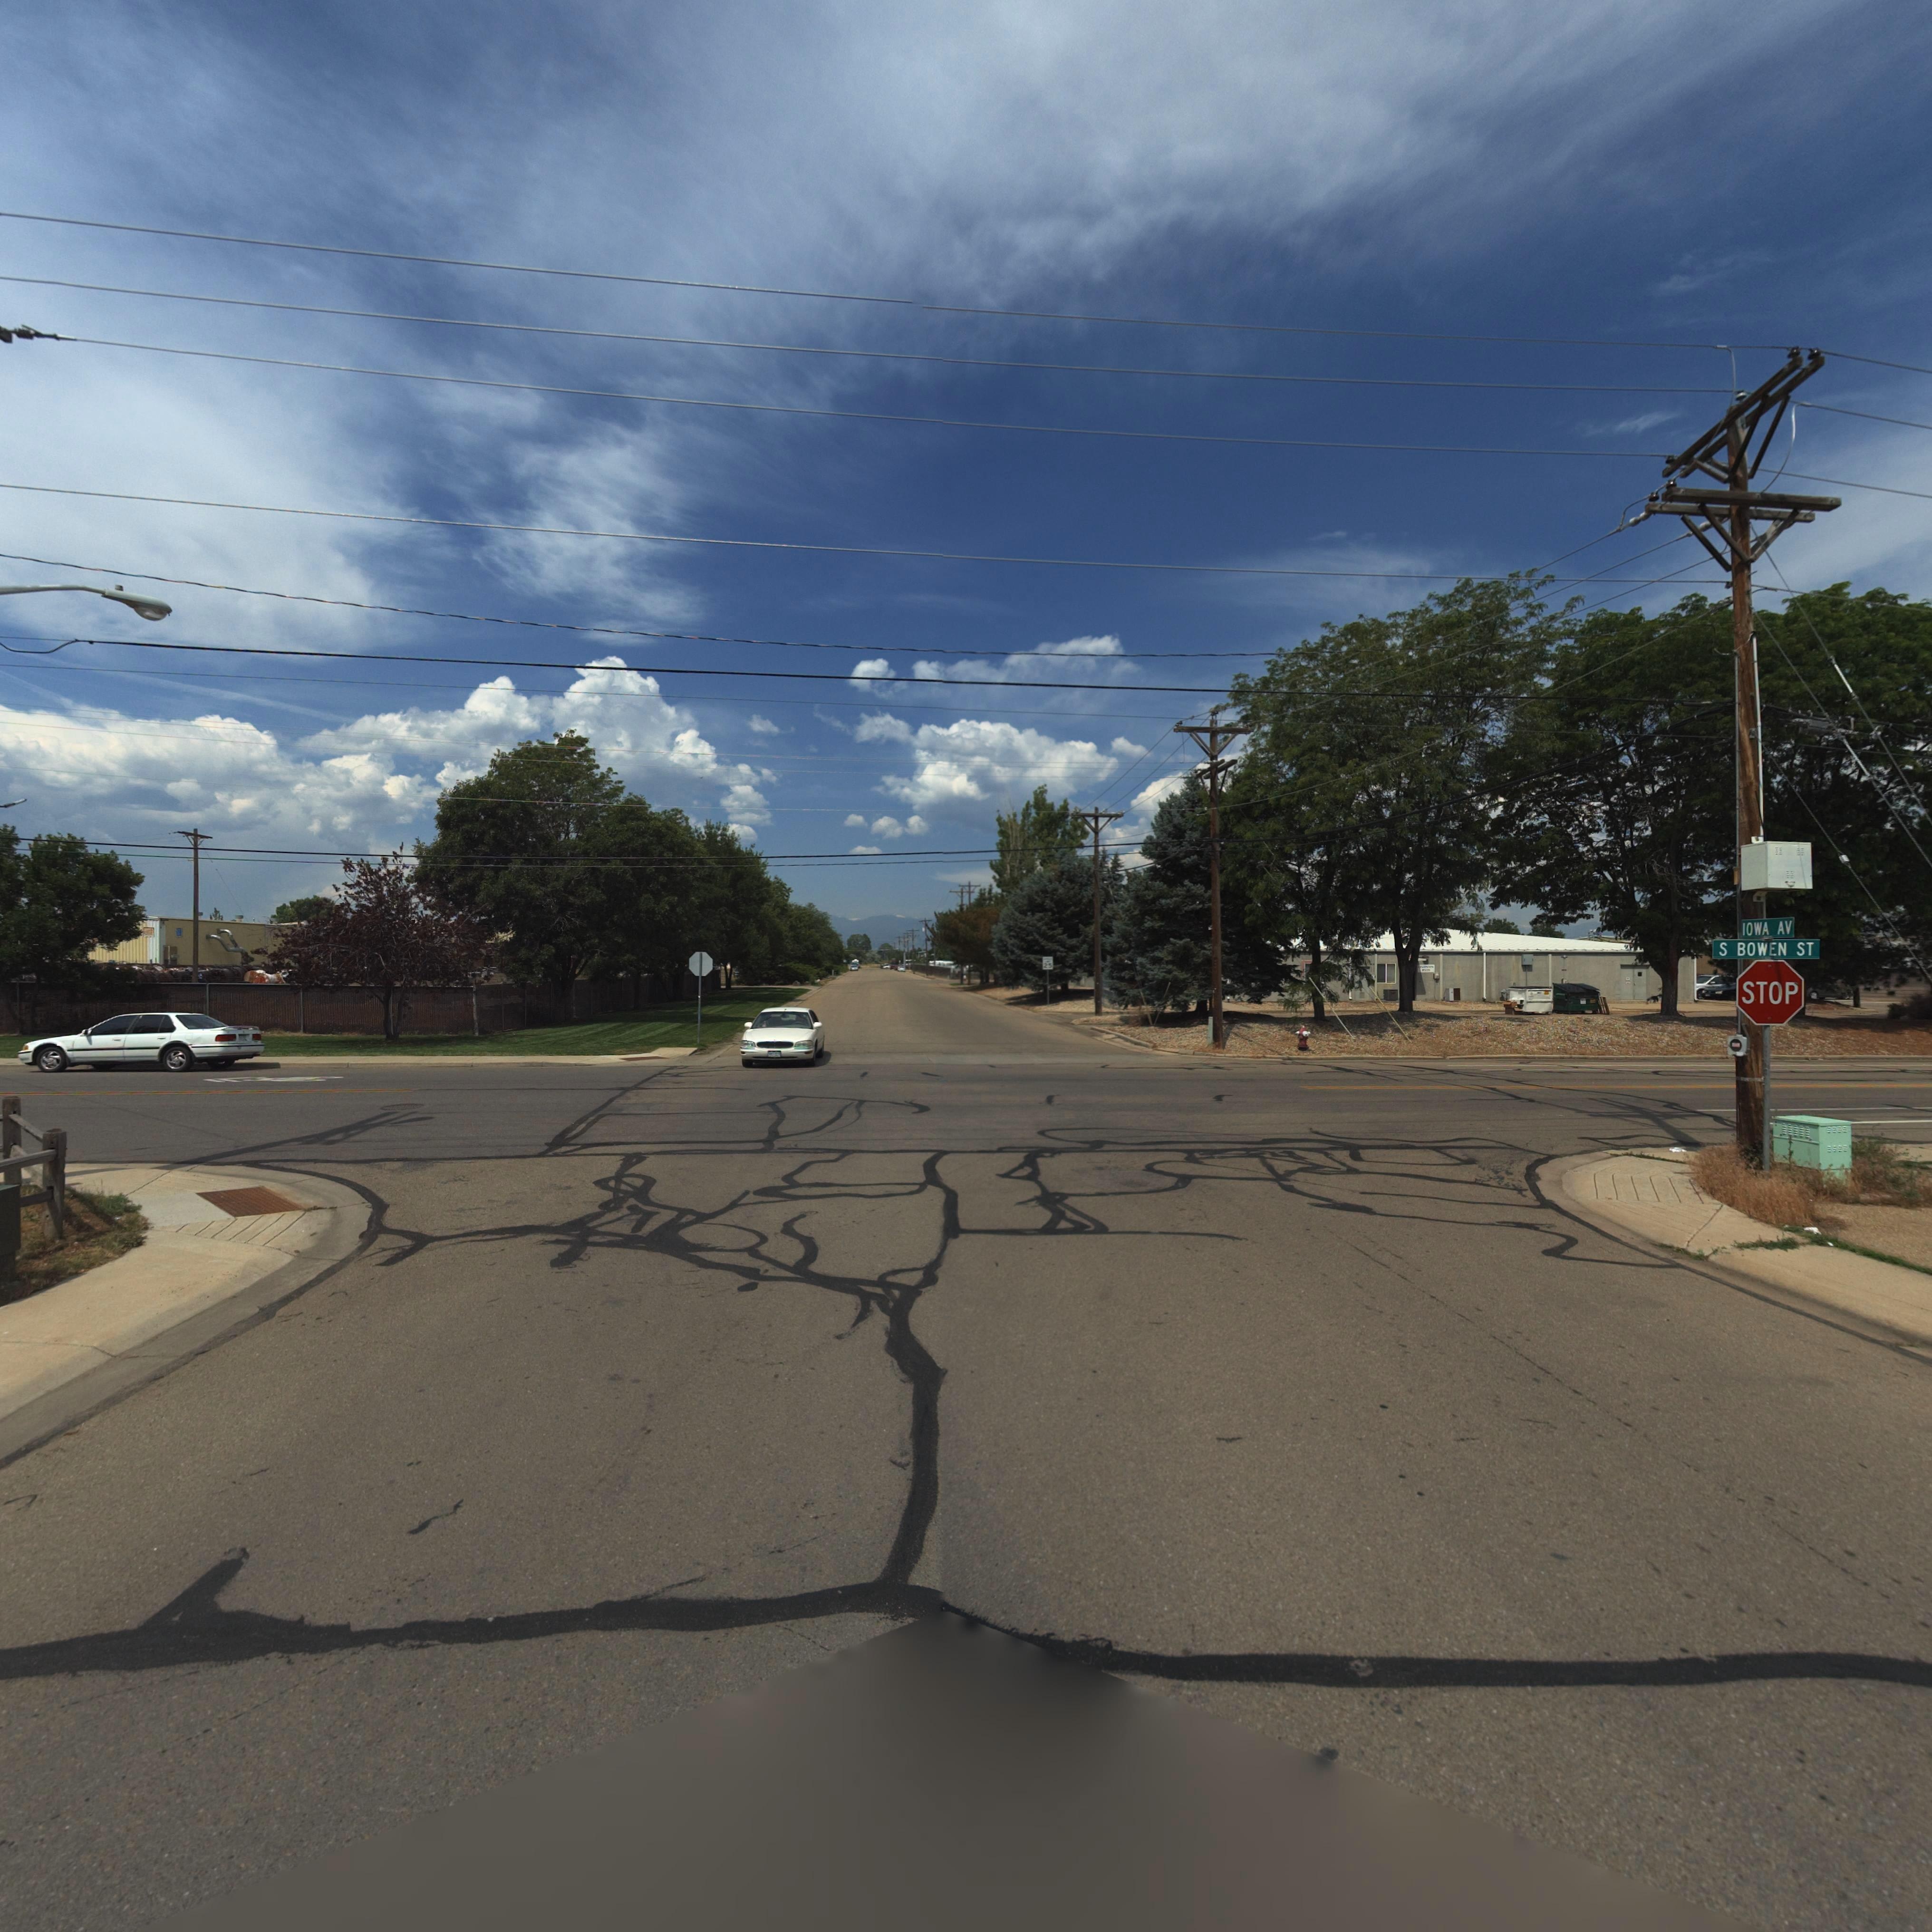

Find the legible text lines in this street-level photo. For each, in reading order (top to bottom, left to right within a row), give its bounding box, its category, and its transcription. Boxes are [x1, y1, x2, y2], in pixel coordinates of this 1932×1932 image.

[1742, 920, 1793, 936] StreetName: IOWA AV
[1718, 941, 1814, 956] StreetName: S BOWEN ST